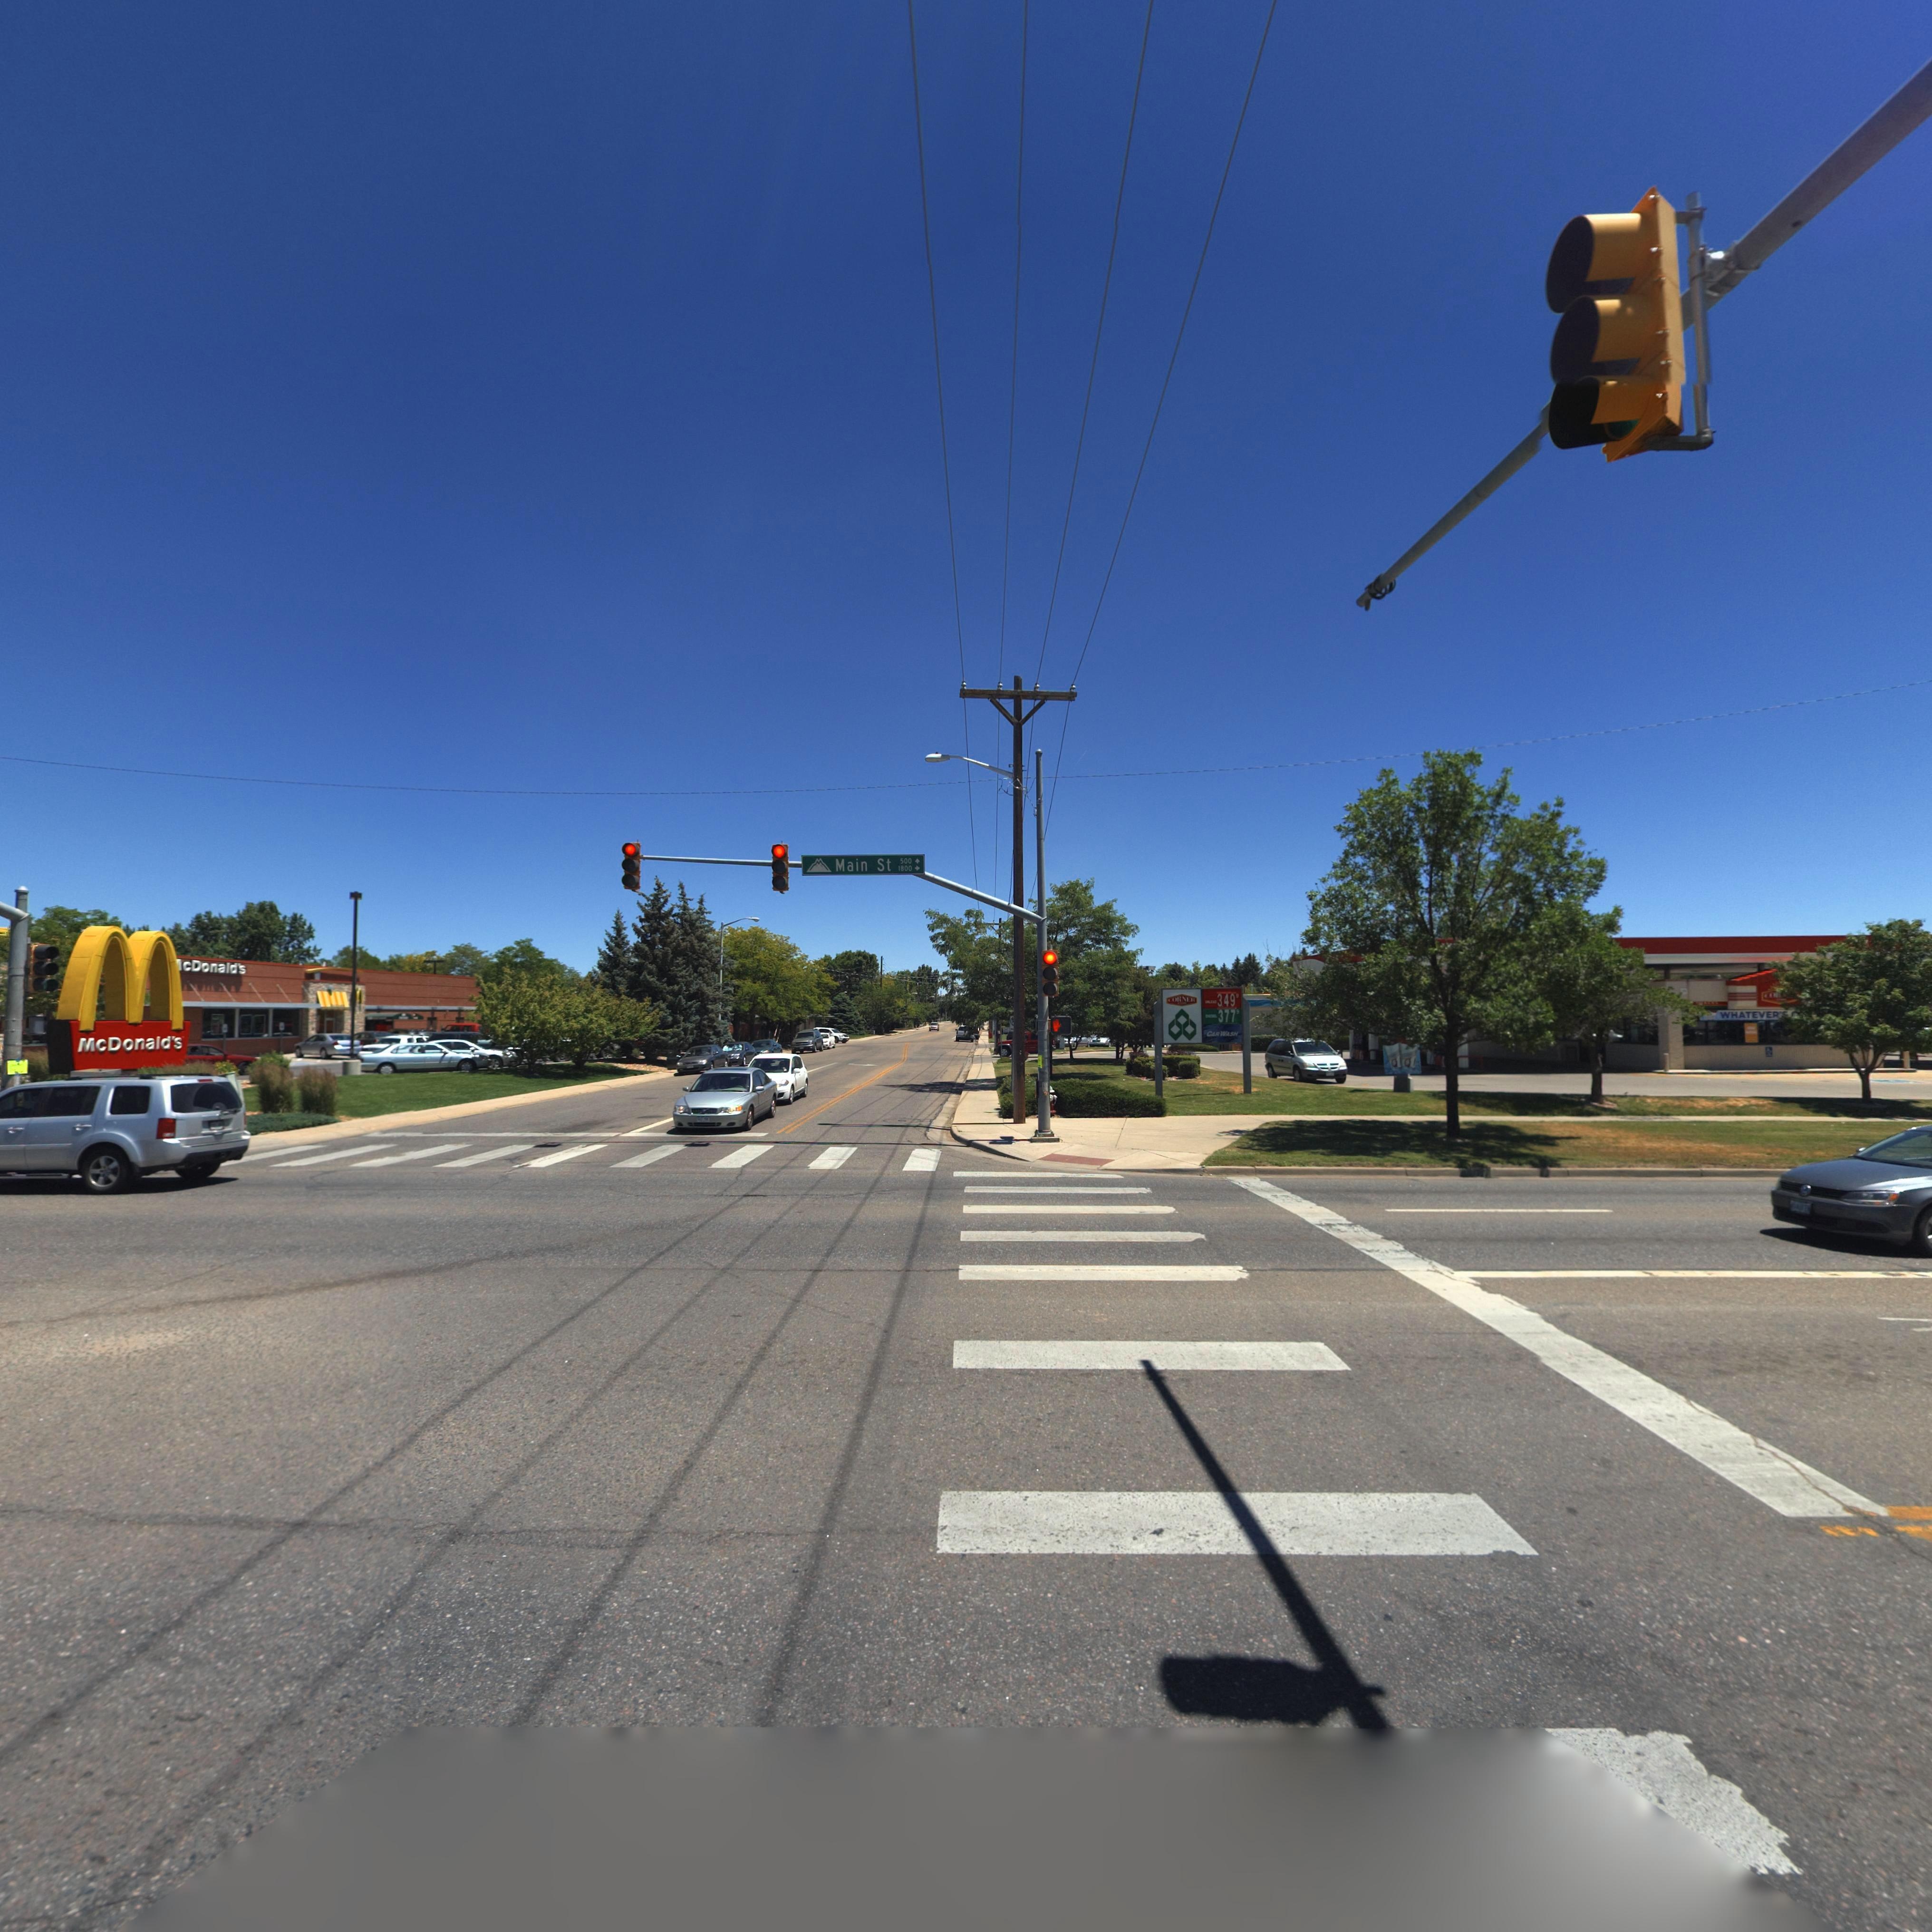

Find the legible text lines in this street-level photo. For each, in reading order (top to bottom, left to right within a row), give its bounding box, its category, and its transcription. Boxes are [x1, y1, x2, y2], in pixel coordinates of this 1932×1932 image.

[835, 858, 891, 871] StreetName: Main St
[900, 858, 911, 864] StreetNumberRange: 500
[898, 865, 920, 871] StreetNumberRange: 1800 ->
[176, 958, 246, 975] BusinessName: *cDonald's
[1168, 995, 1195, 1002] BusinessName: CORNER
[1764, 990, 1786, 998] BusinessName: CO*
[77, 1035, 183, 1053] BusinessName: McDonald's